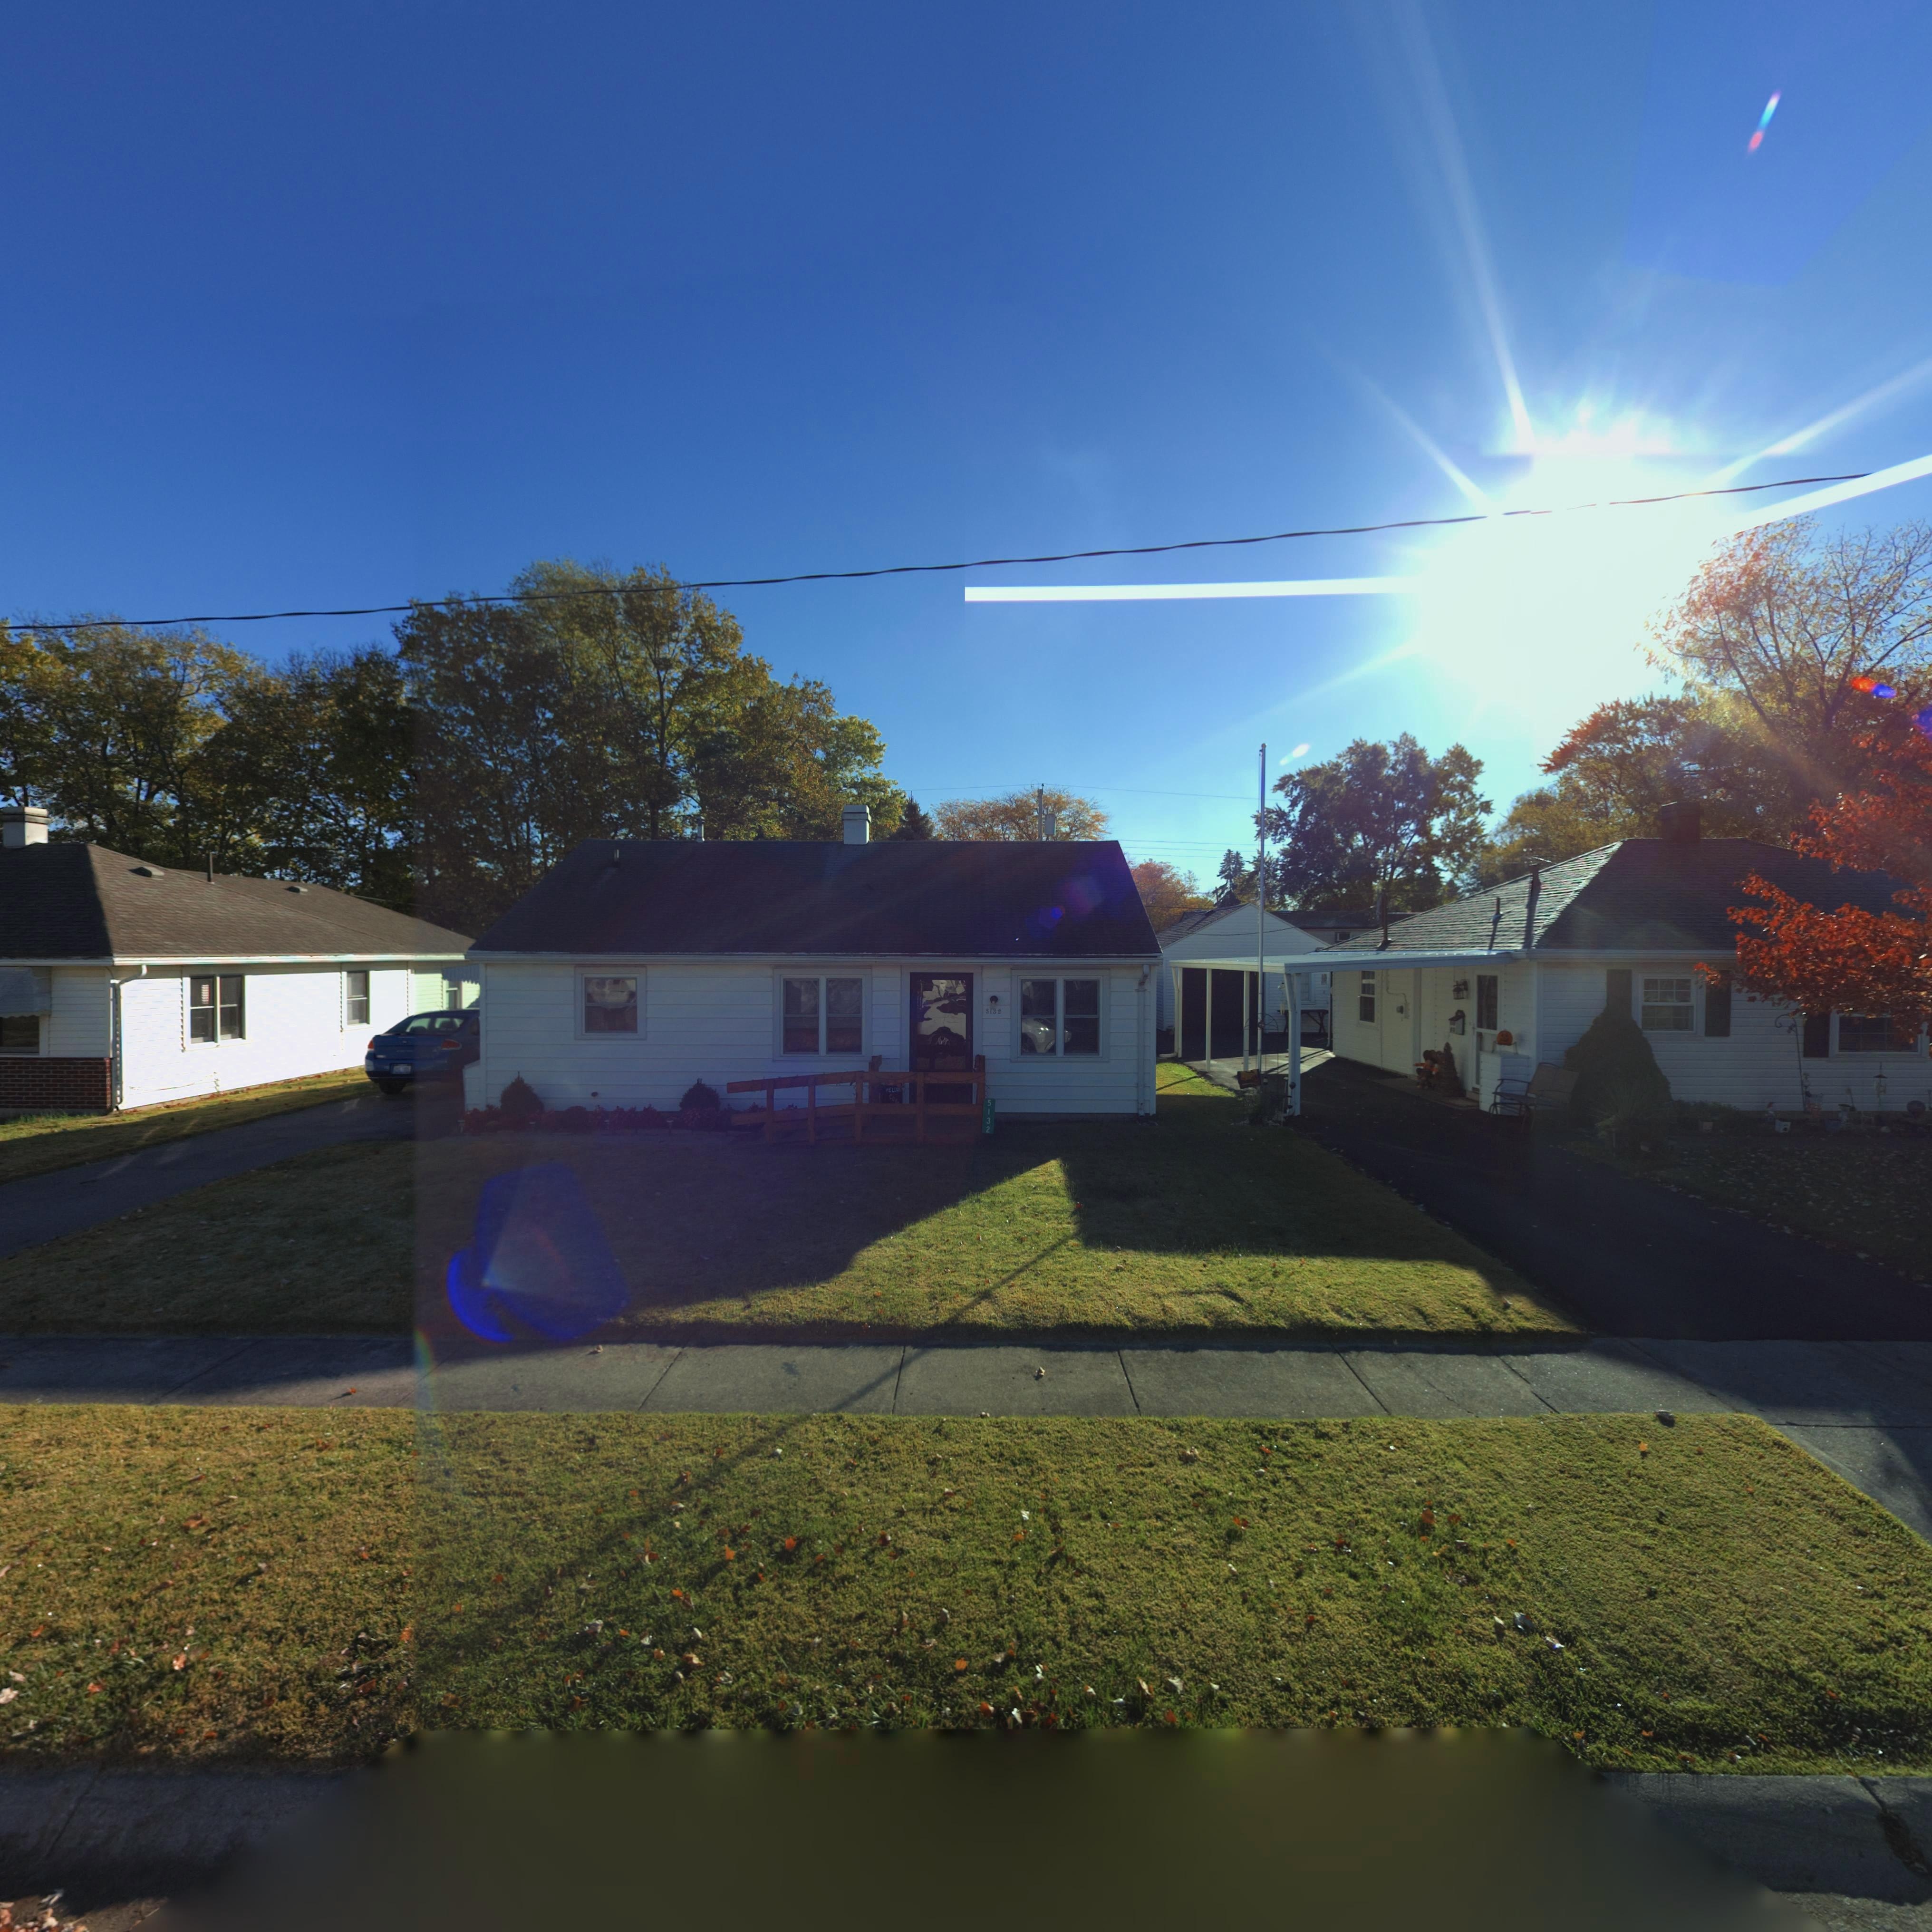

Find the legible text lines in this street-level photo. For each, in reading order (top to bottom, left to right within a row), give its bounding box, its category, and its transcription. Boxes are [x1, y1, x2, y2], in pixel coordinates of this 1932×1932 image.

[985, 1008, 1002, 1014] StreetNumber: 5132
[985, 1099, 992, 1133] StreetNumber: 5132